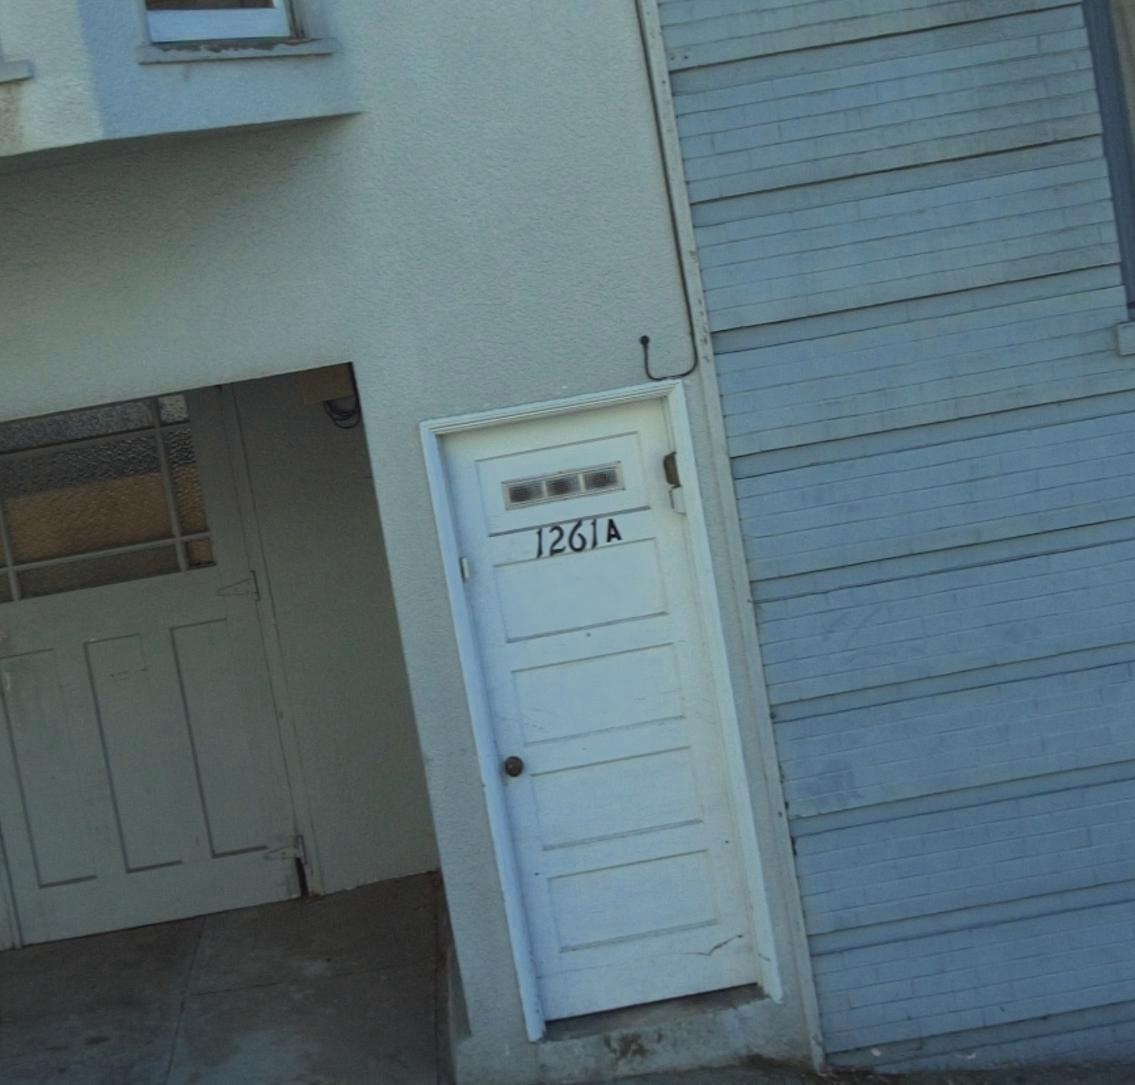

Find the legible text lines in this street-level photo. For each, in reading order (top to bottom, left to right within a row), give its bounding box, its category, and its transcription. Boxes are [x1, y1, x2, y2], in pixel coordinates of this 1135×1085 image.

[532, 514, 628, 561] StreetNumber: 1261A